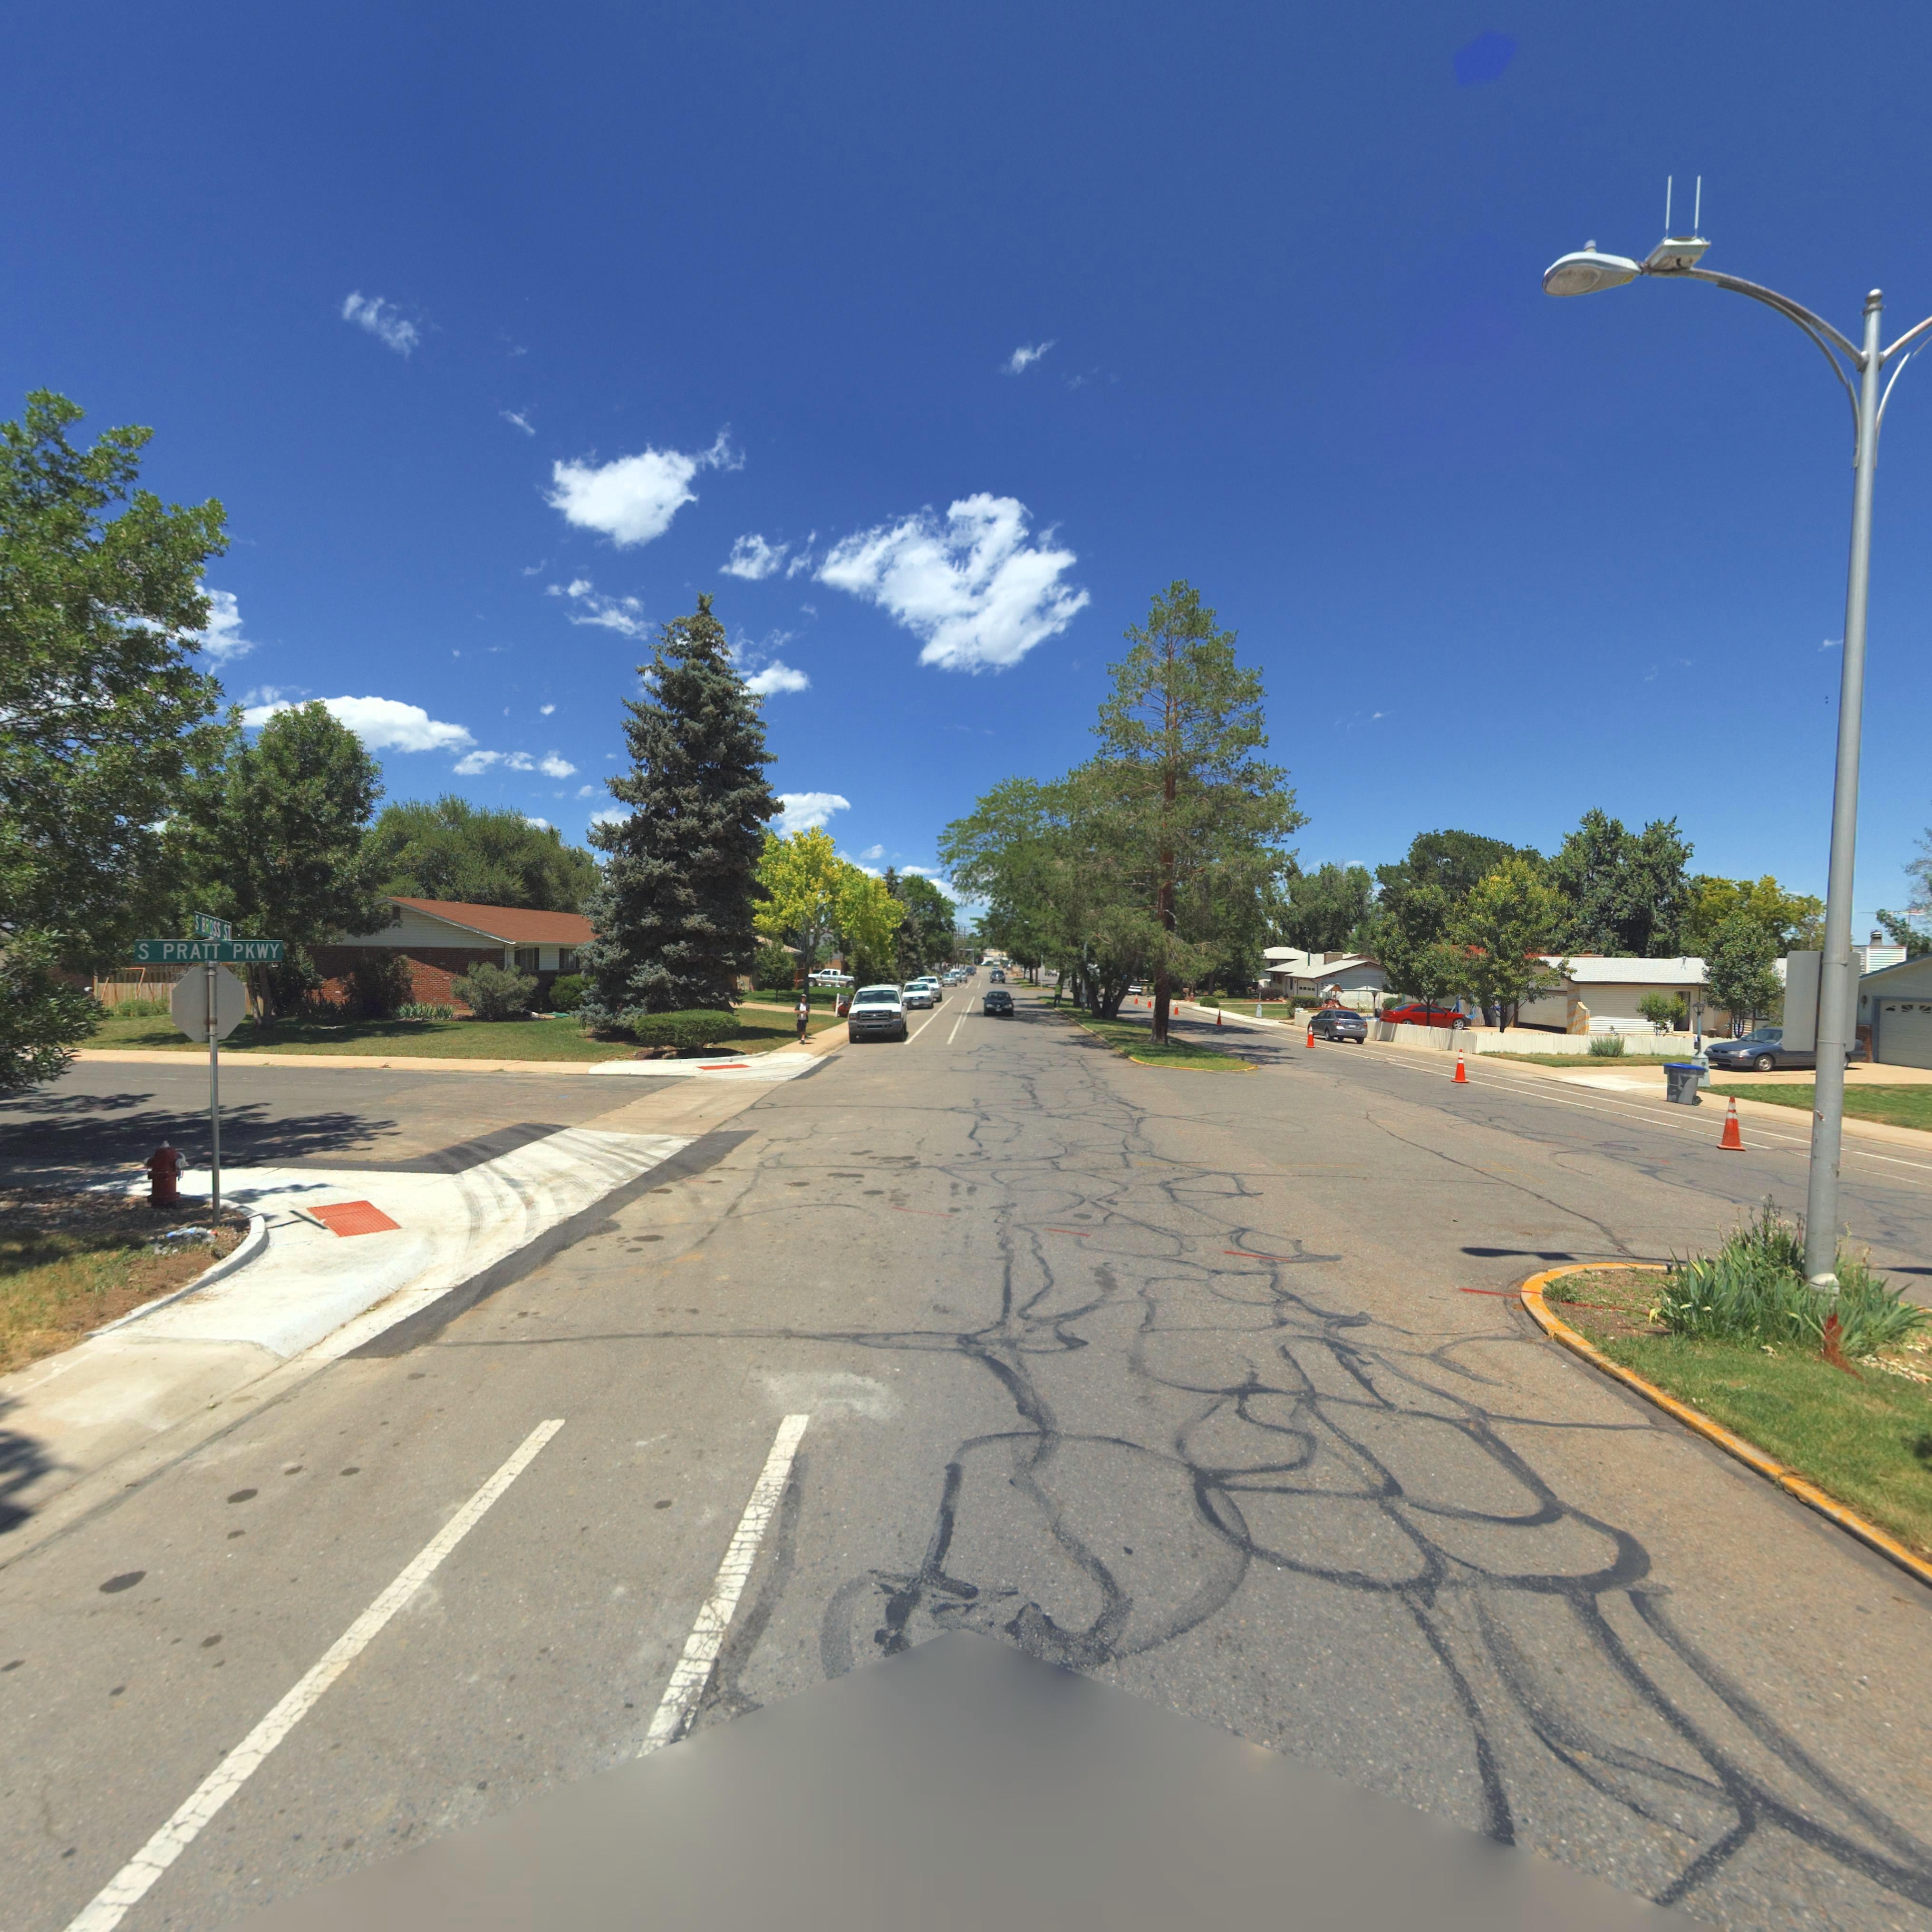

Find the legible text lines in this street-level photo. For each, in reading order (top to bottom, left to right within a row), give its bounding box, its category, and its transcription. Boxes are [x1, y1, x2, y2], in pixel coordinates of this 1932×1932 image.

[193, 914, 232, 941] StreetName: S BROSS ST
[136, 943, 280, 960] StreetName: S PRATT PKWY